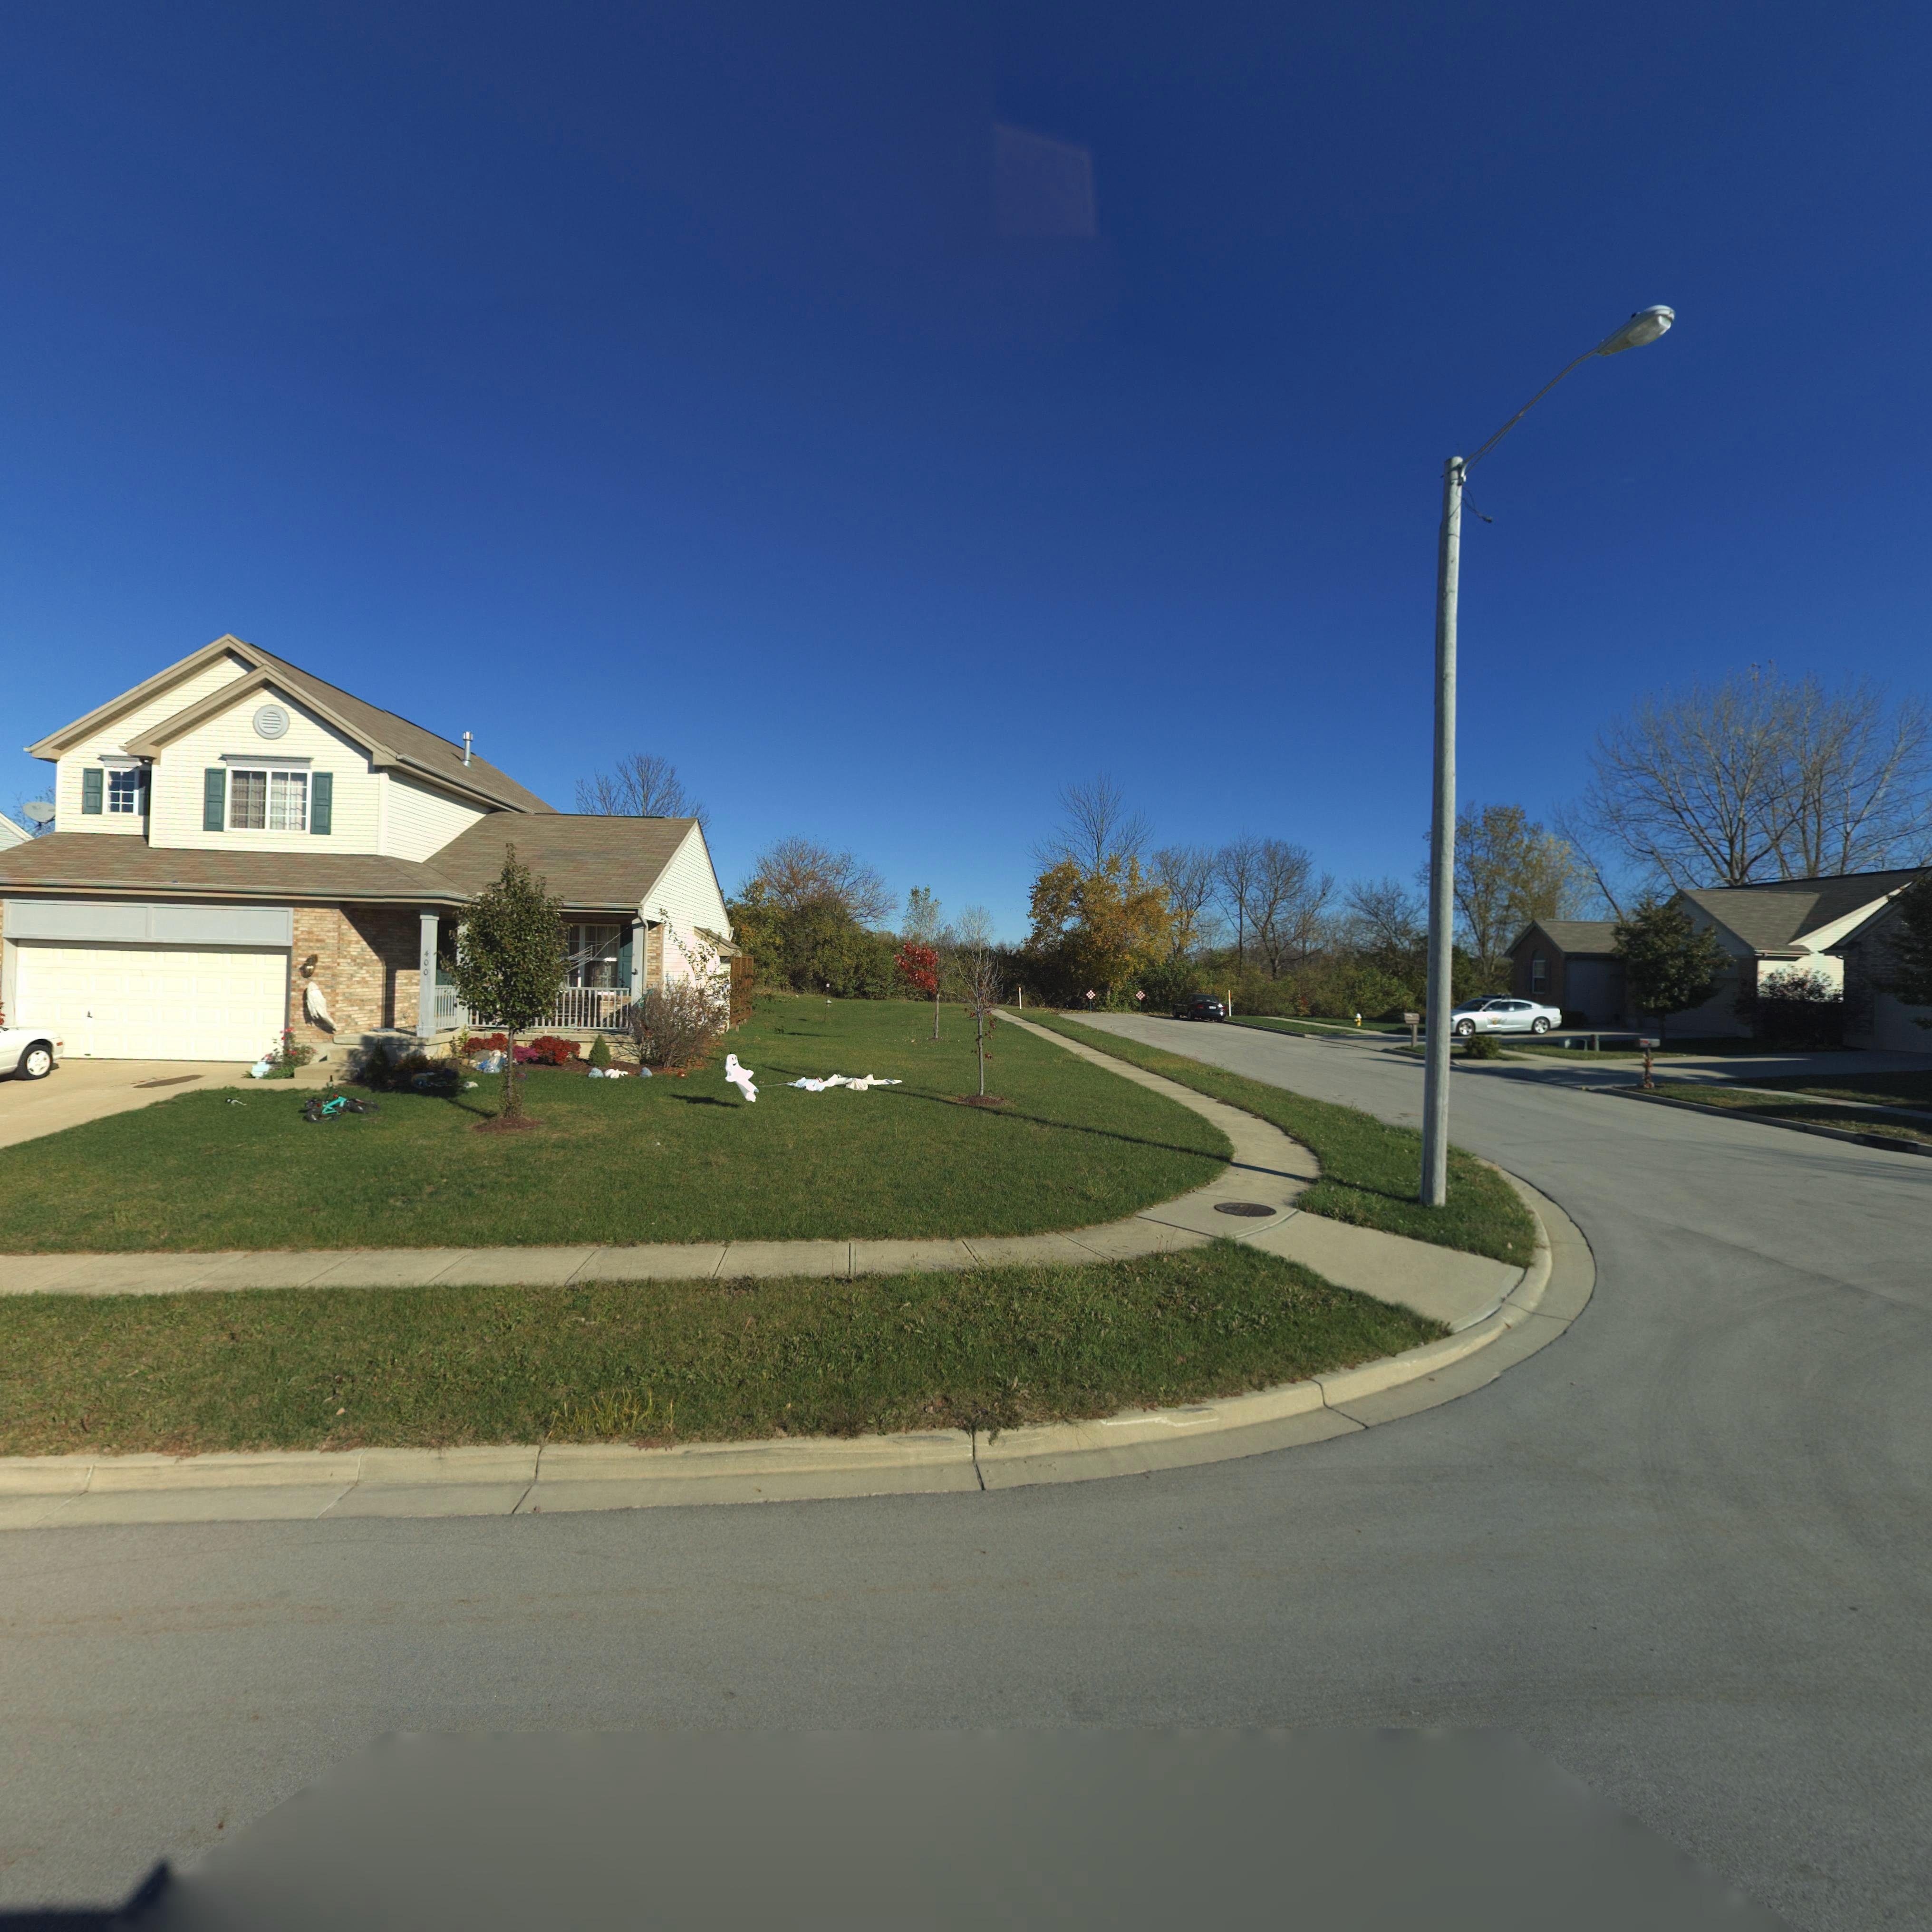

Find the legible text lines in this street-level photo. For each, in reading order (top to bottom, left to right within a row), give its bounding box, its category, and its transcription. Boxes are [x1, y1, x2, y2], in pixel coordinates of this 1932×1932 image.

[423, 948, 430, 977] StreetNumber: 400